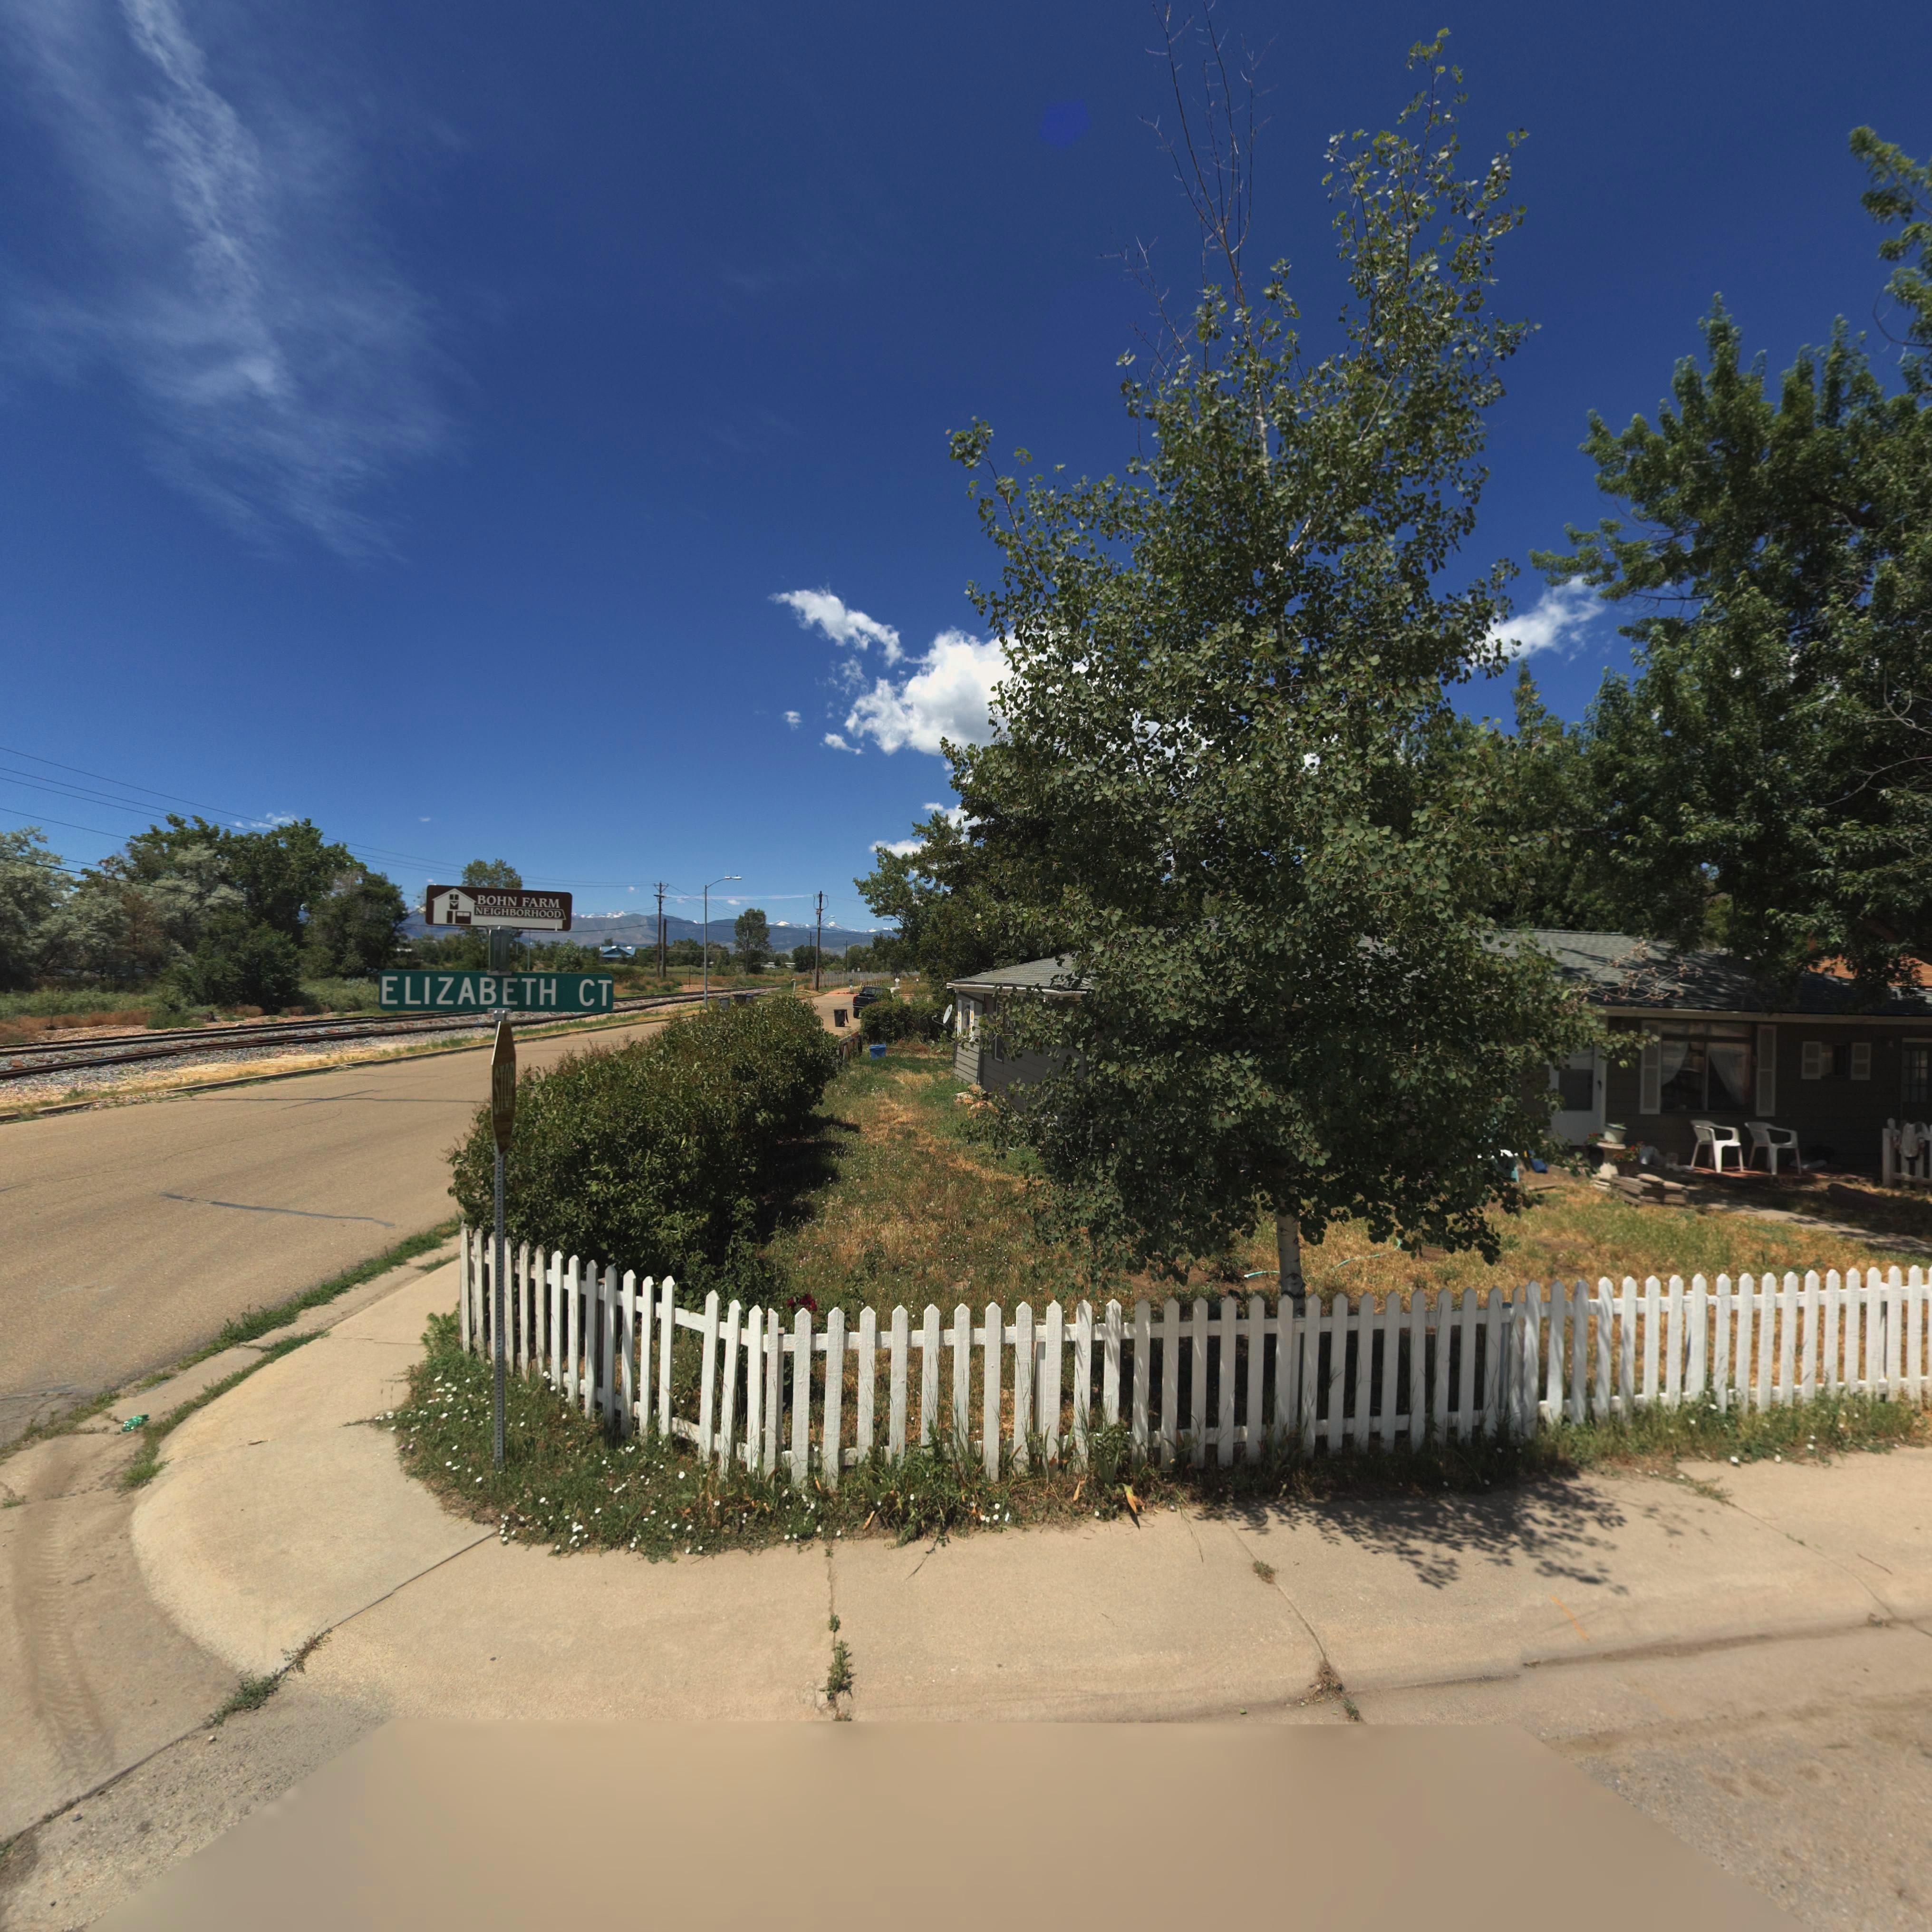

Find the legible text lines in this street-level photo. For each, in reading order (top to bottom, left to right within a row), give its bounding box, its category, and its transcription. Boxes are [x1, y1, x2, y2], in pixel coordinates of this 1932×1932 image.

[379, 975, 614, 1008] StreetName: ELIZABETH CT